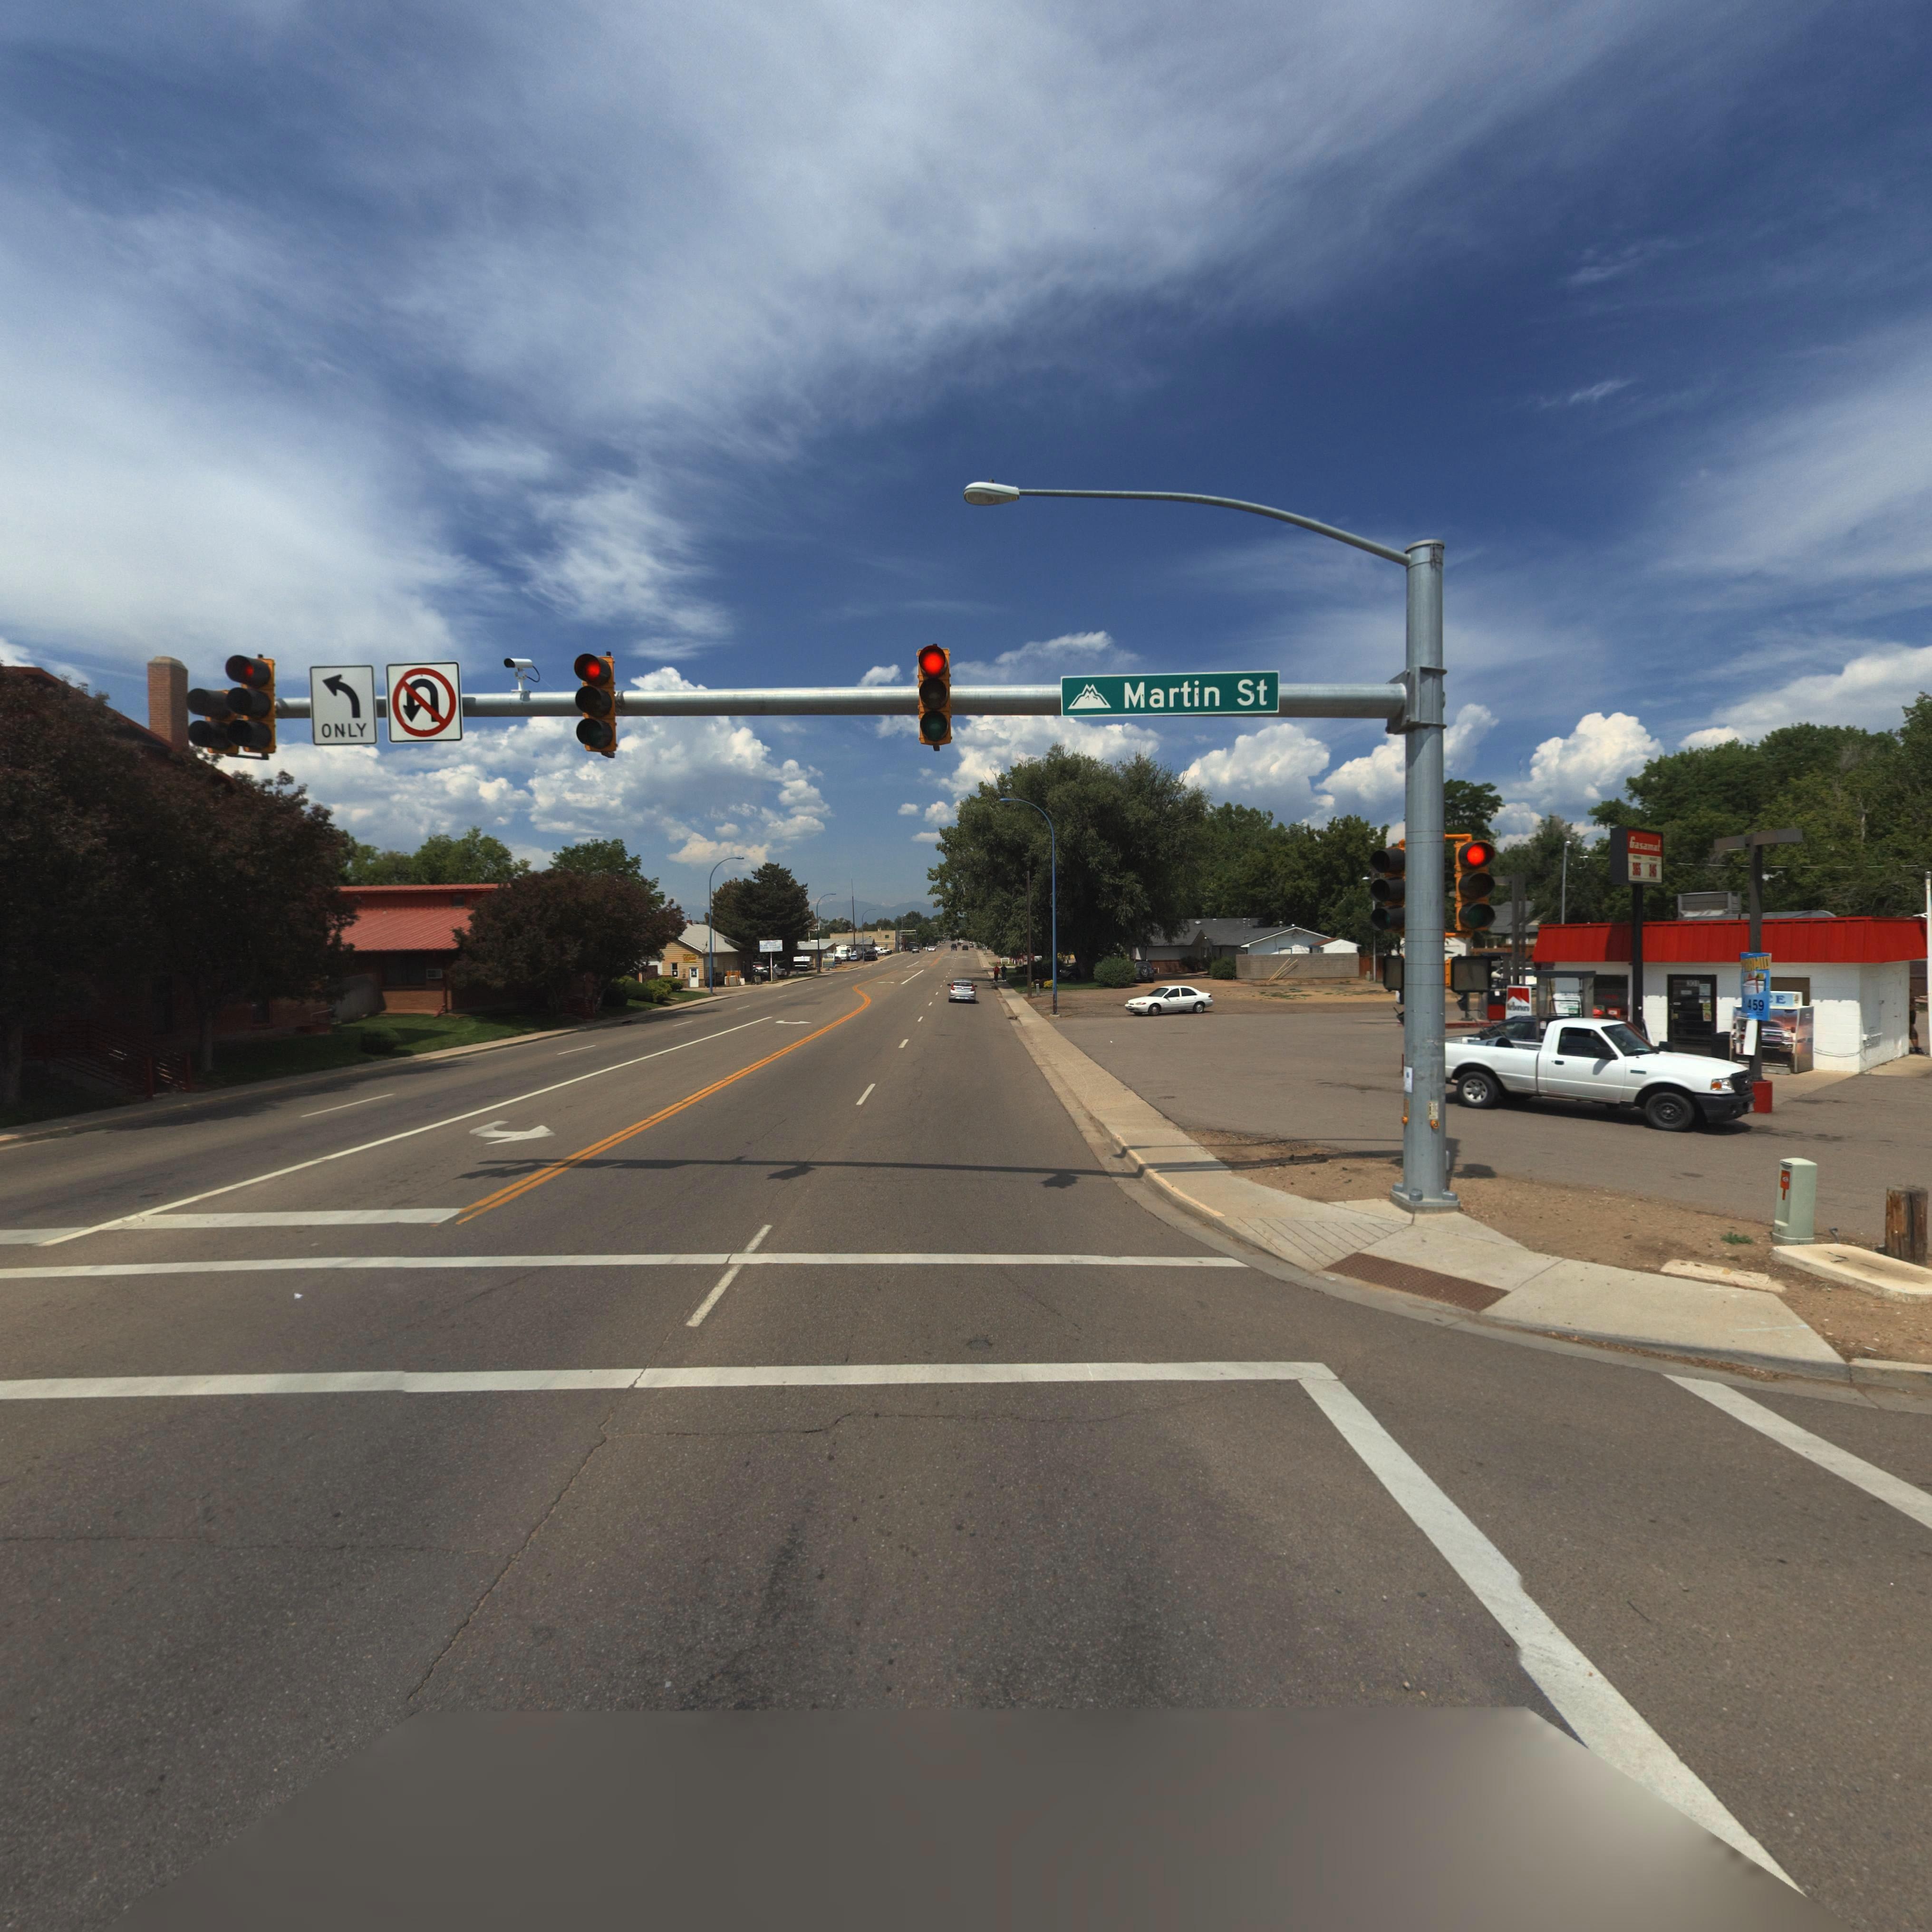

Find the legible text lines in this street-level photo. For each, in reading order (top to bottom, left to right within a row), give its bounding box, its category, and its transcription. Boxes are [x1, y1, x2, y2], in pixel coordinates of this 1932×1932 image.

[1123, 678, 1268, 709] StreetName: Martin St
[1629, 835, 1661, 851] BusinessName: Gasamat
[1686, 979, 1699, 987] StreetNumber: 301